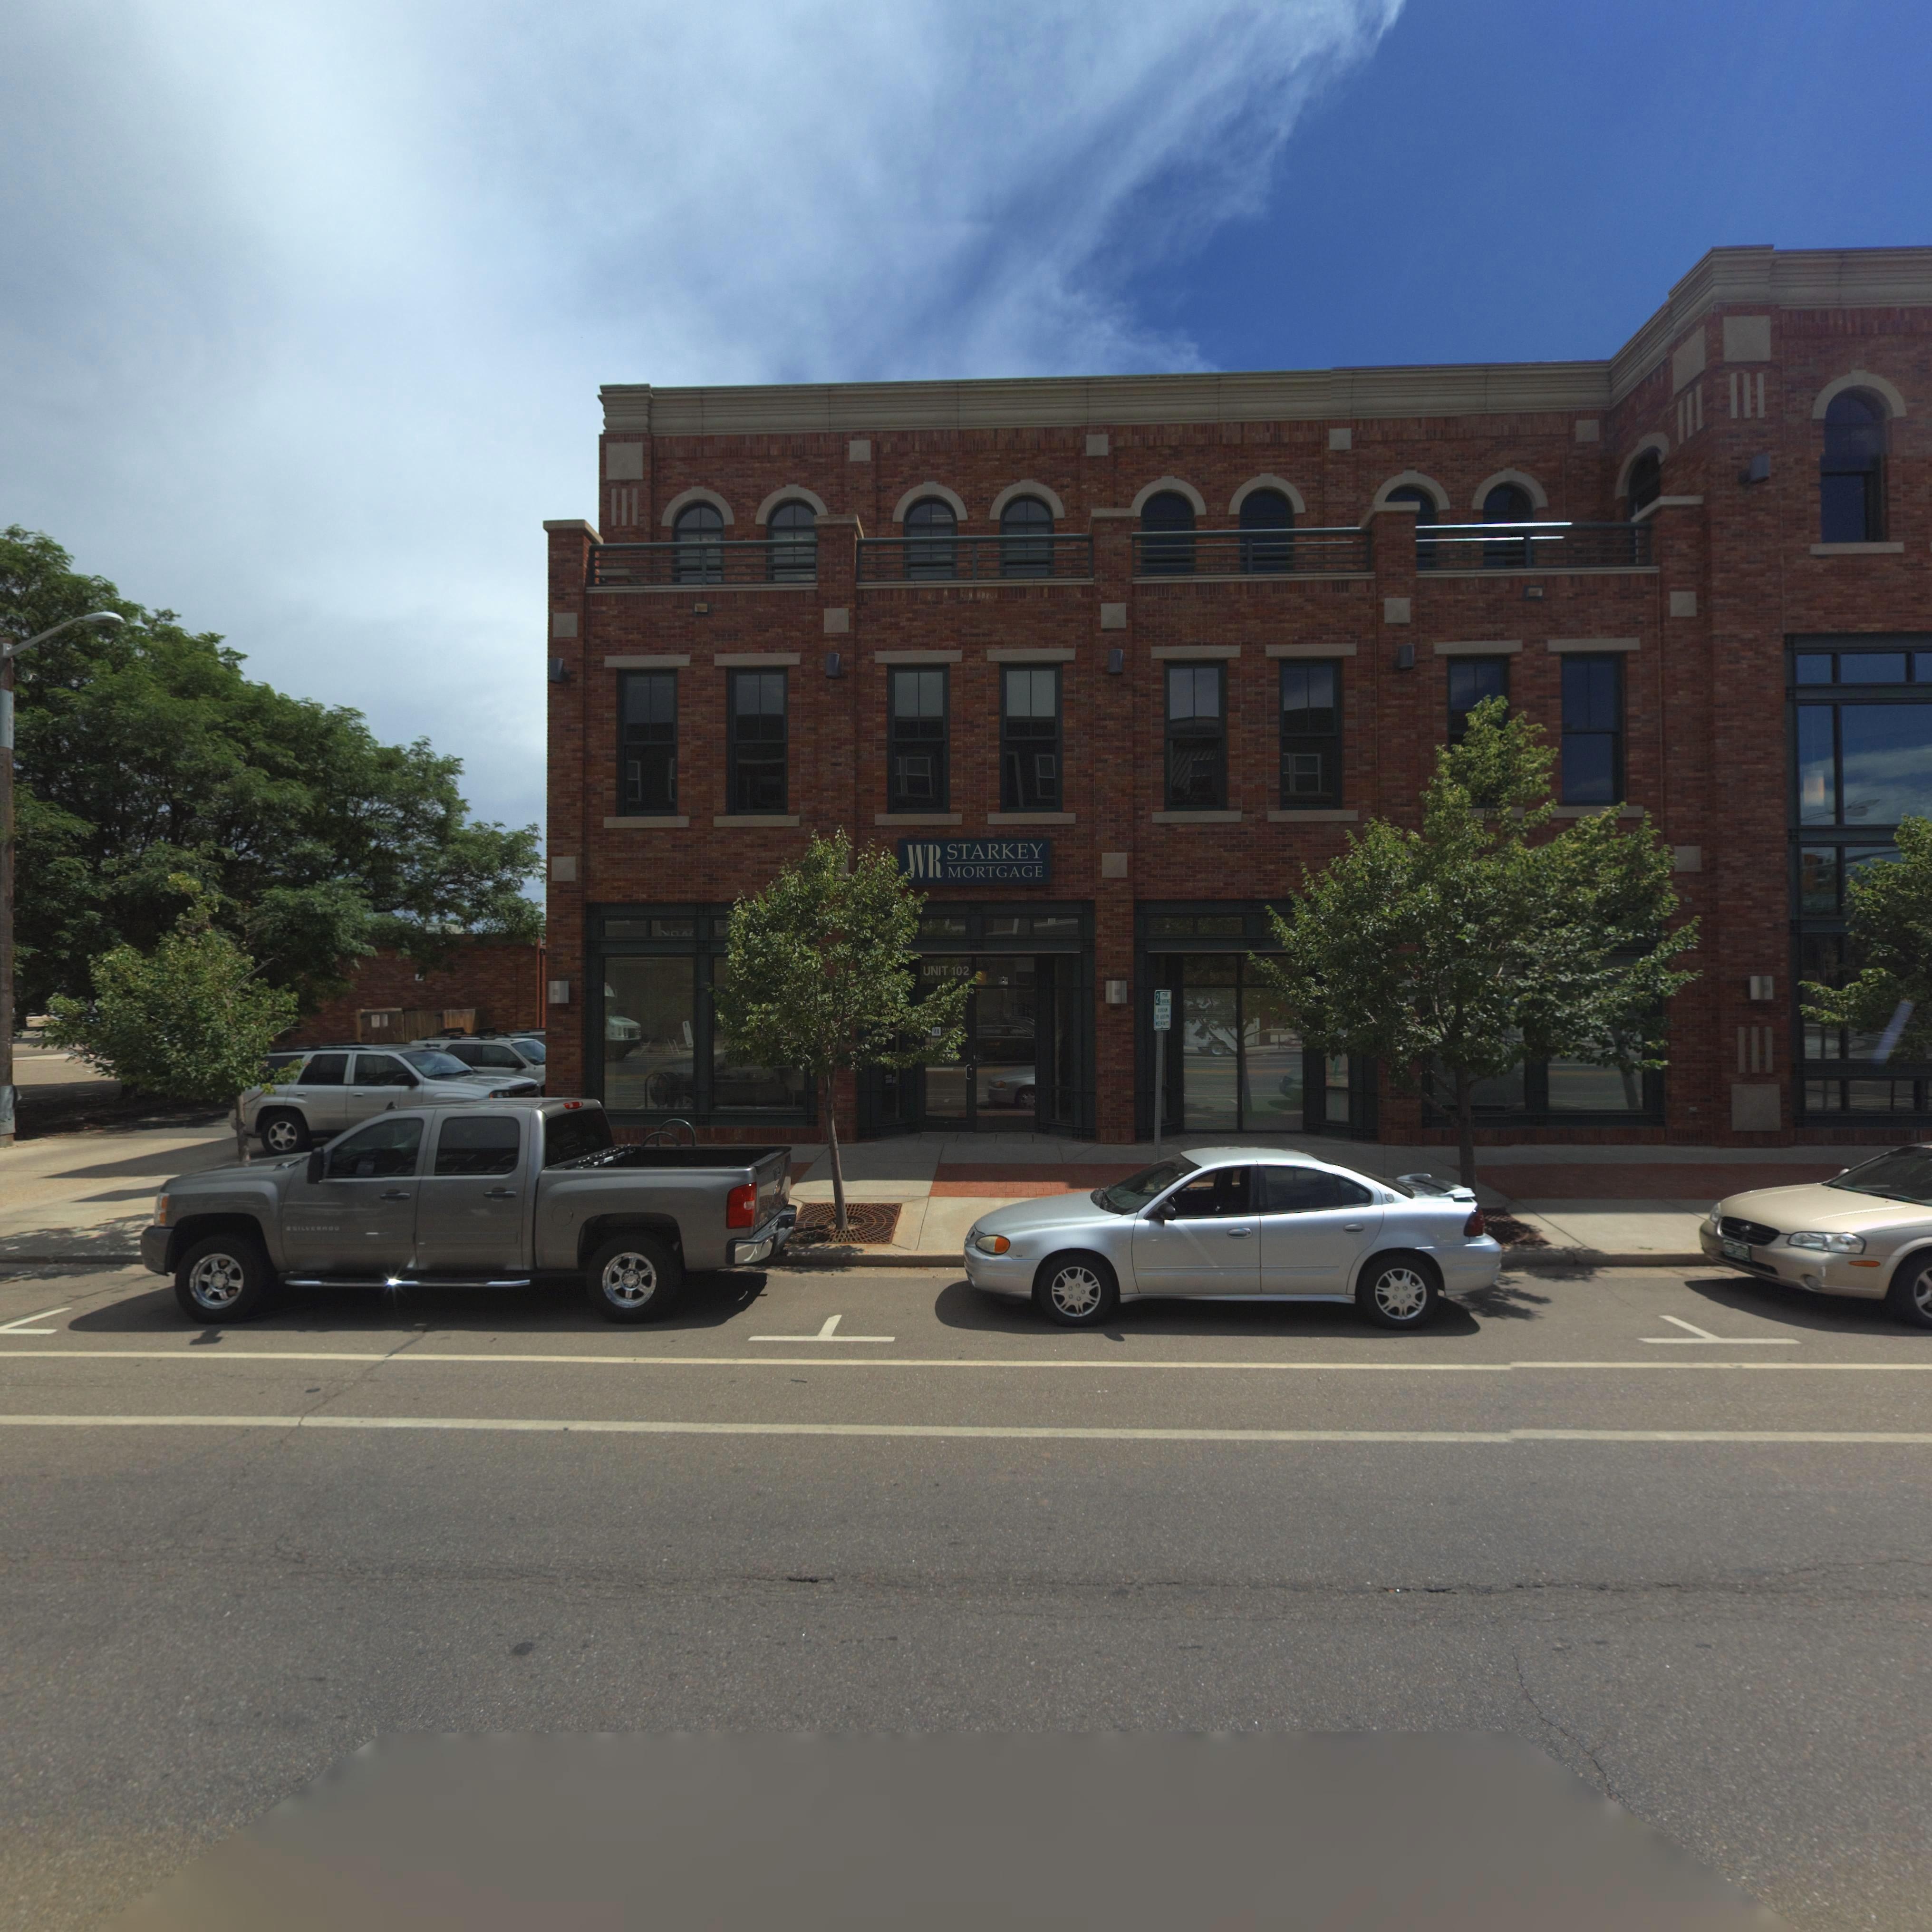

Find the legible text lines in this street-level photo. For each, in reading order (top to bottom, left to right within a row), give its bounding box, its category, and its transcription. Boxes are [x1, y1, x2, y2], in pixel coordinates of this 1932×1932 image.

[947, 844, 1042, 860] BusinessName: STARKEY
[948, 866, 1042, 878] BusinessName: MORTGAGE
[923, 965, 970, 976] SecondaryUnitDesignator: UNIT 102
[942, 1027, 952, 1031] BusinessName: STA*